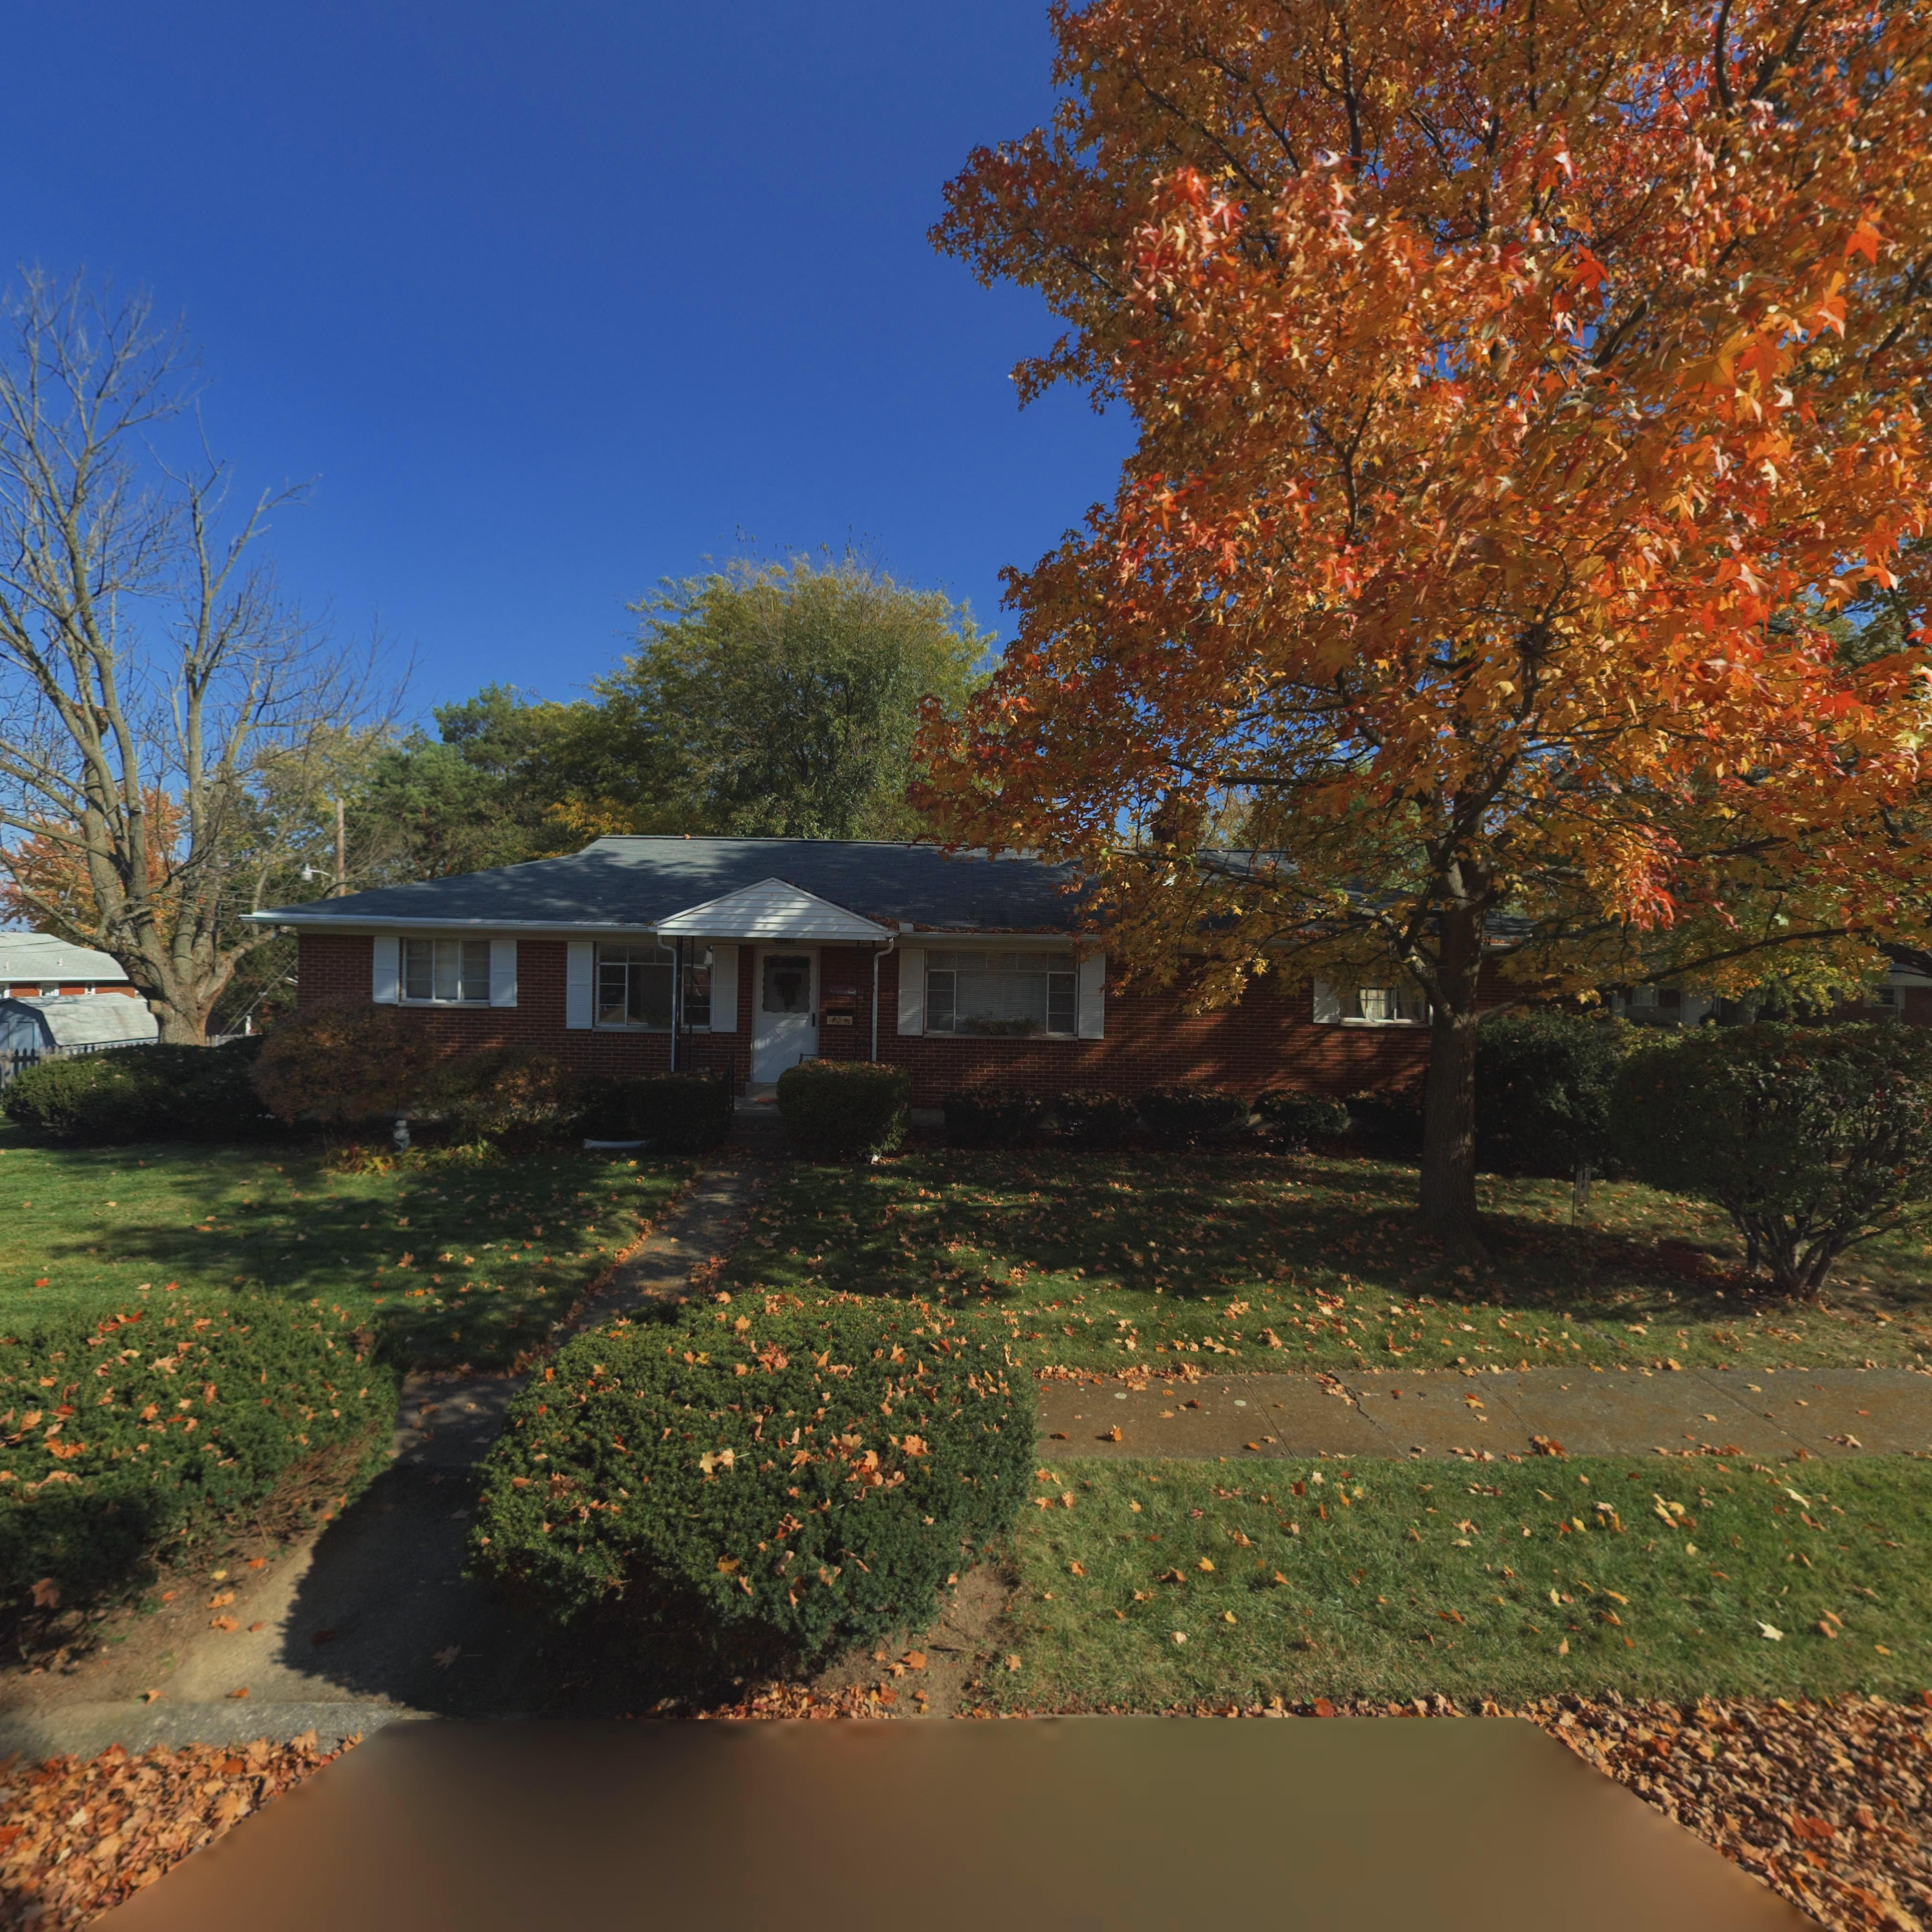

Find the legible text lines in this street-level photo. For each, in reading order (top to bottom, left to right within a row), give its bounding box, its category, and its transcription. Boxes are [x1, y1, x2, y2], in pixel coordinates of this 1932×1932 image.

[791, 938, 796, 945] StreetNumber: 0